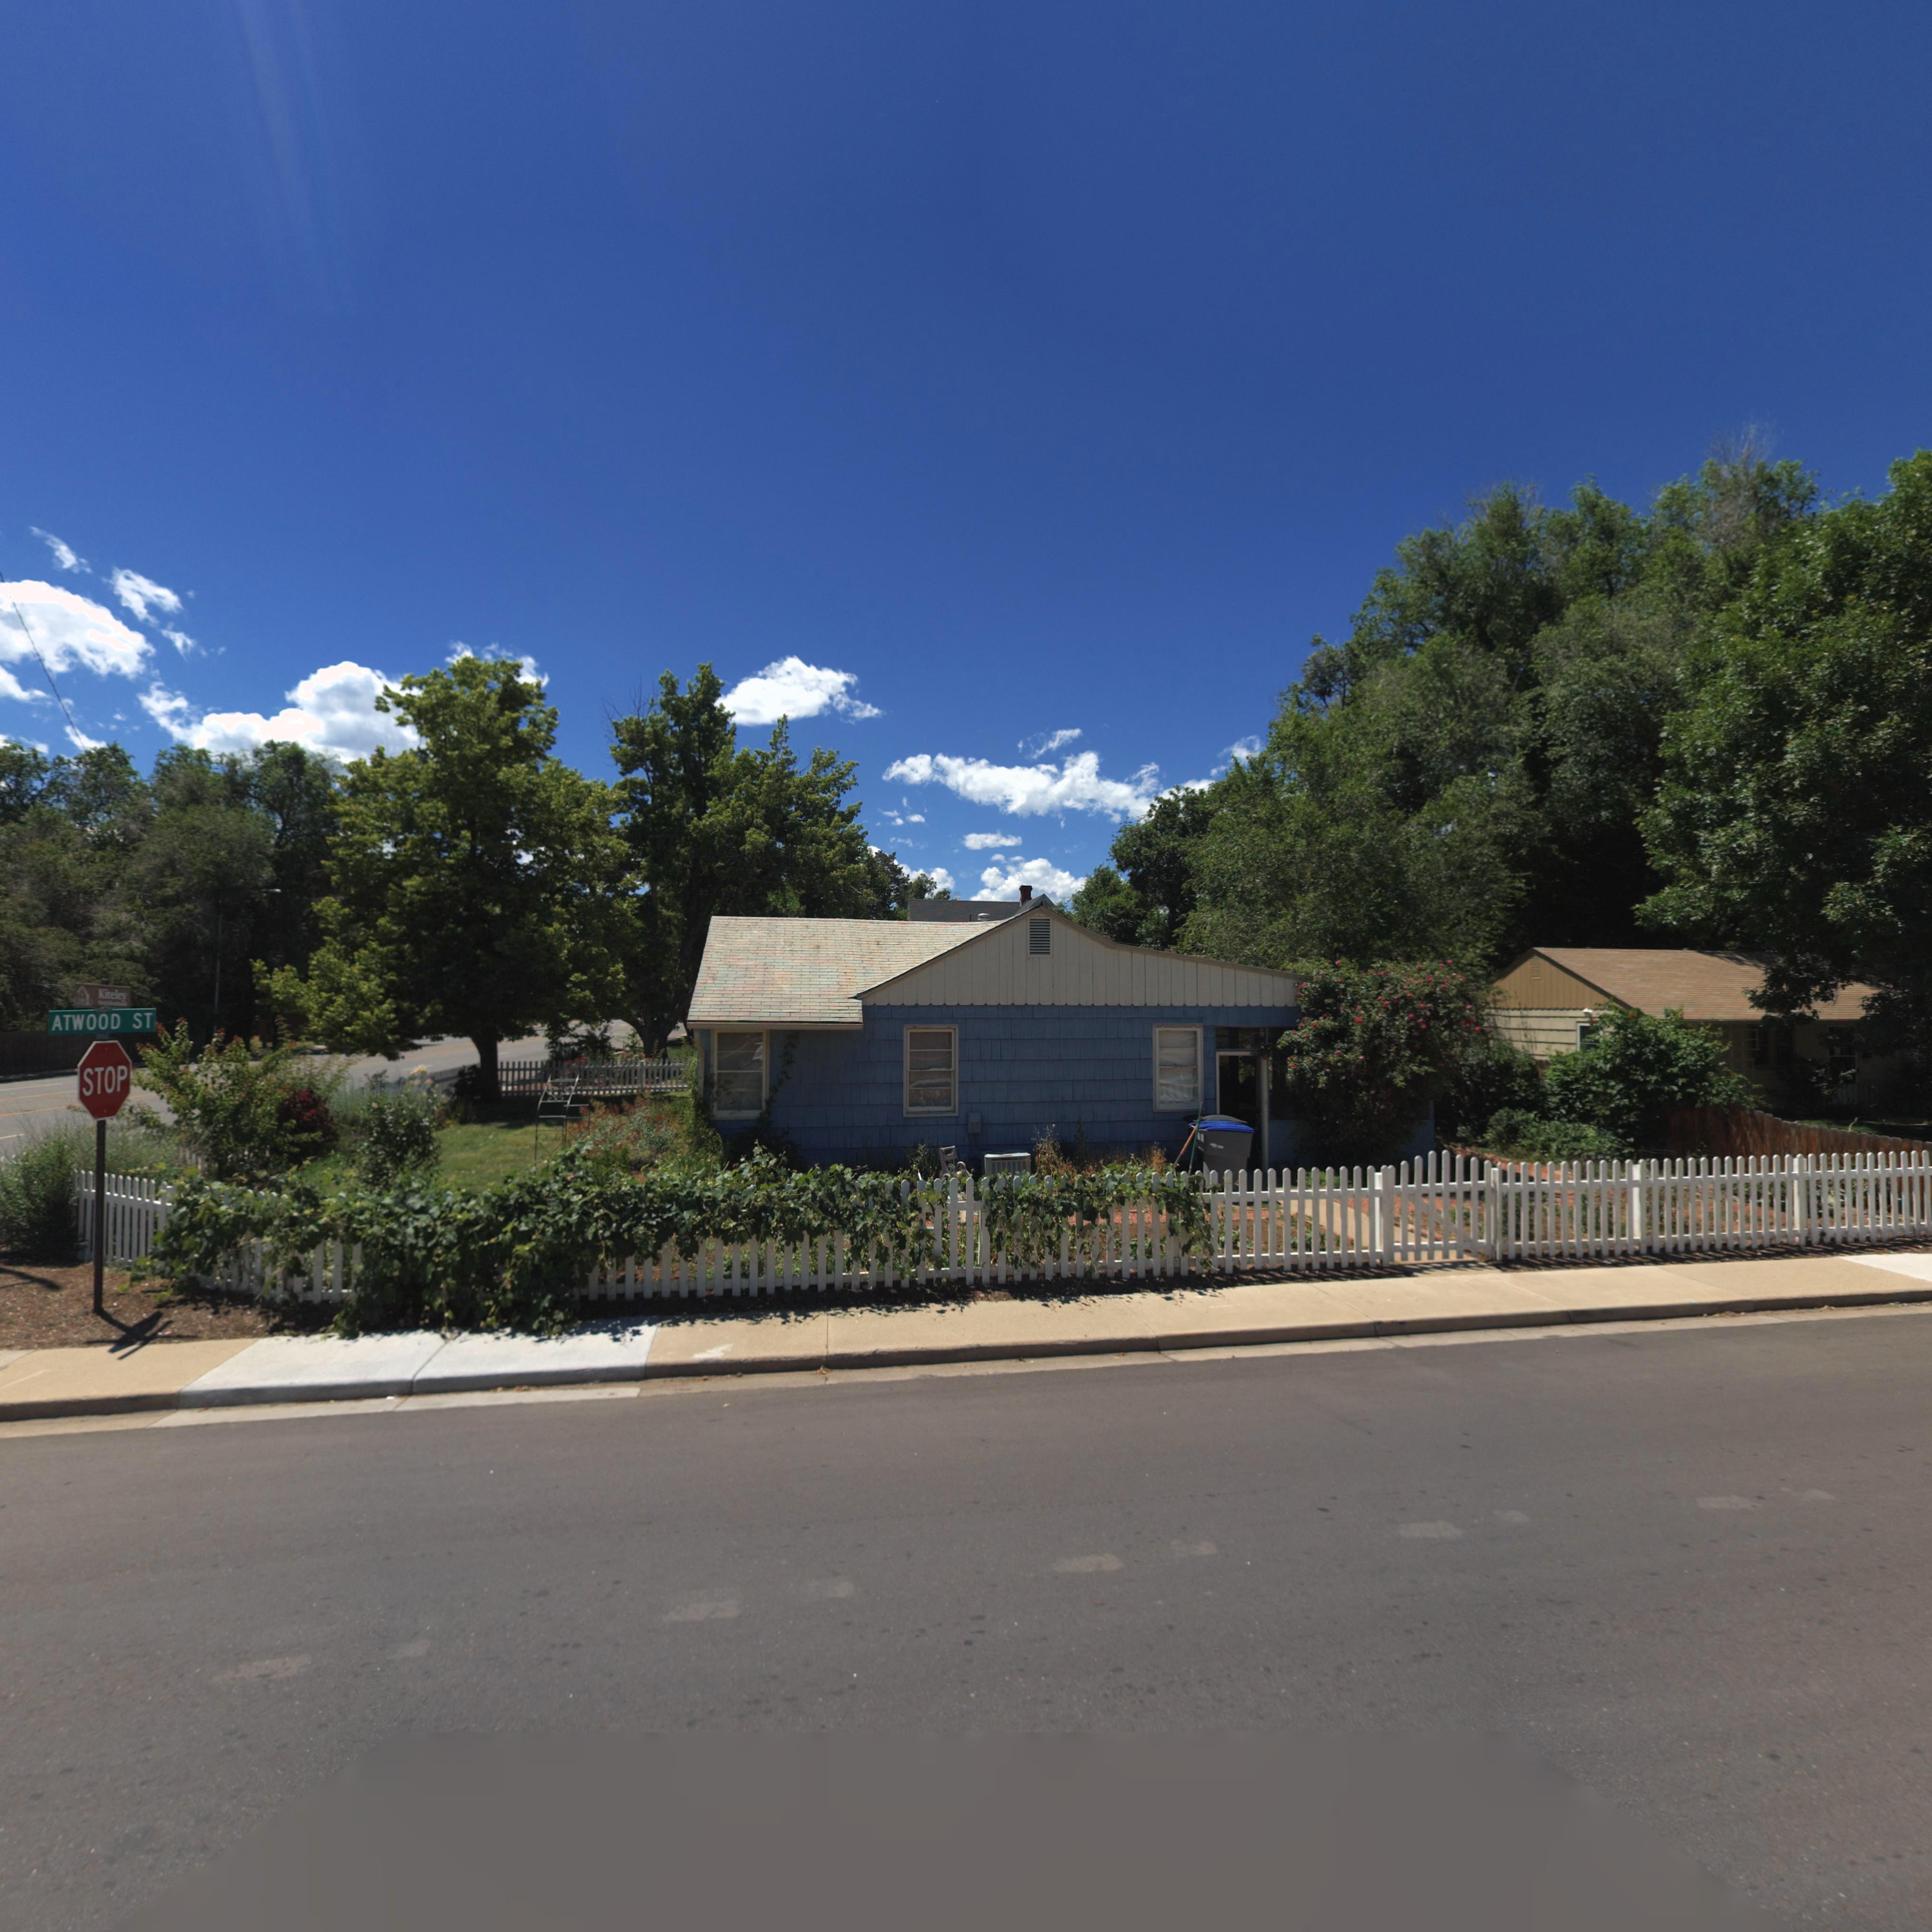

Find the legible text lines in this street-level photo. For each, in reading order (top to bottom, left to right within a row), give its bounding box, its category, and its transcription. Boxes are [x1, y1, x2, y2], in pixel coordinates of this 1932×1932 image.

[51, 1012, 153, 1031] StreetName: ATWOOD ST